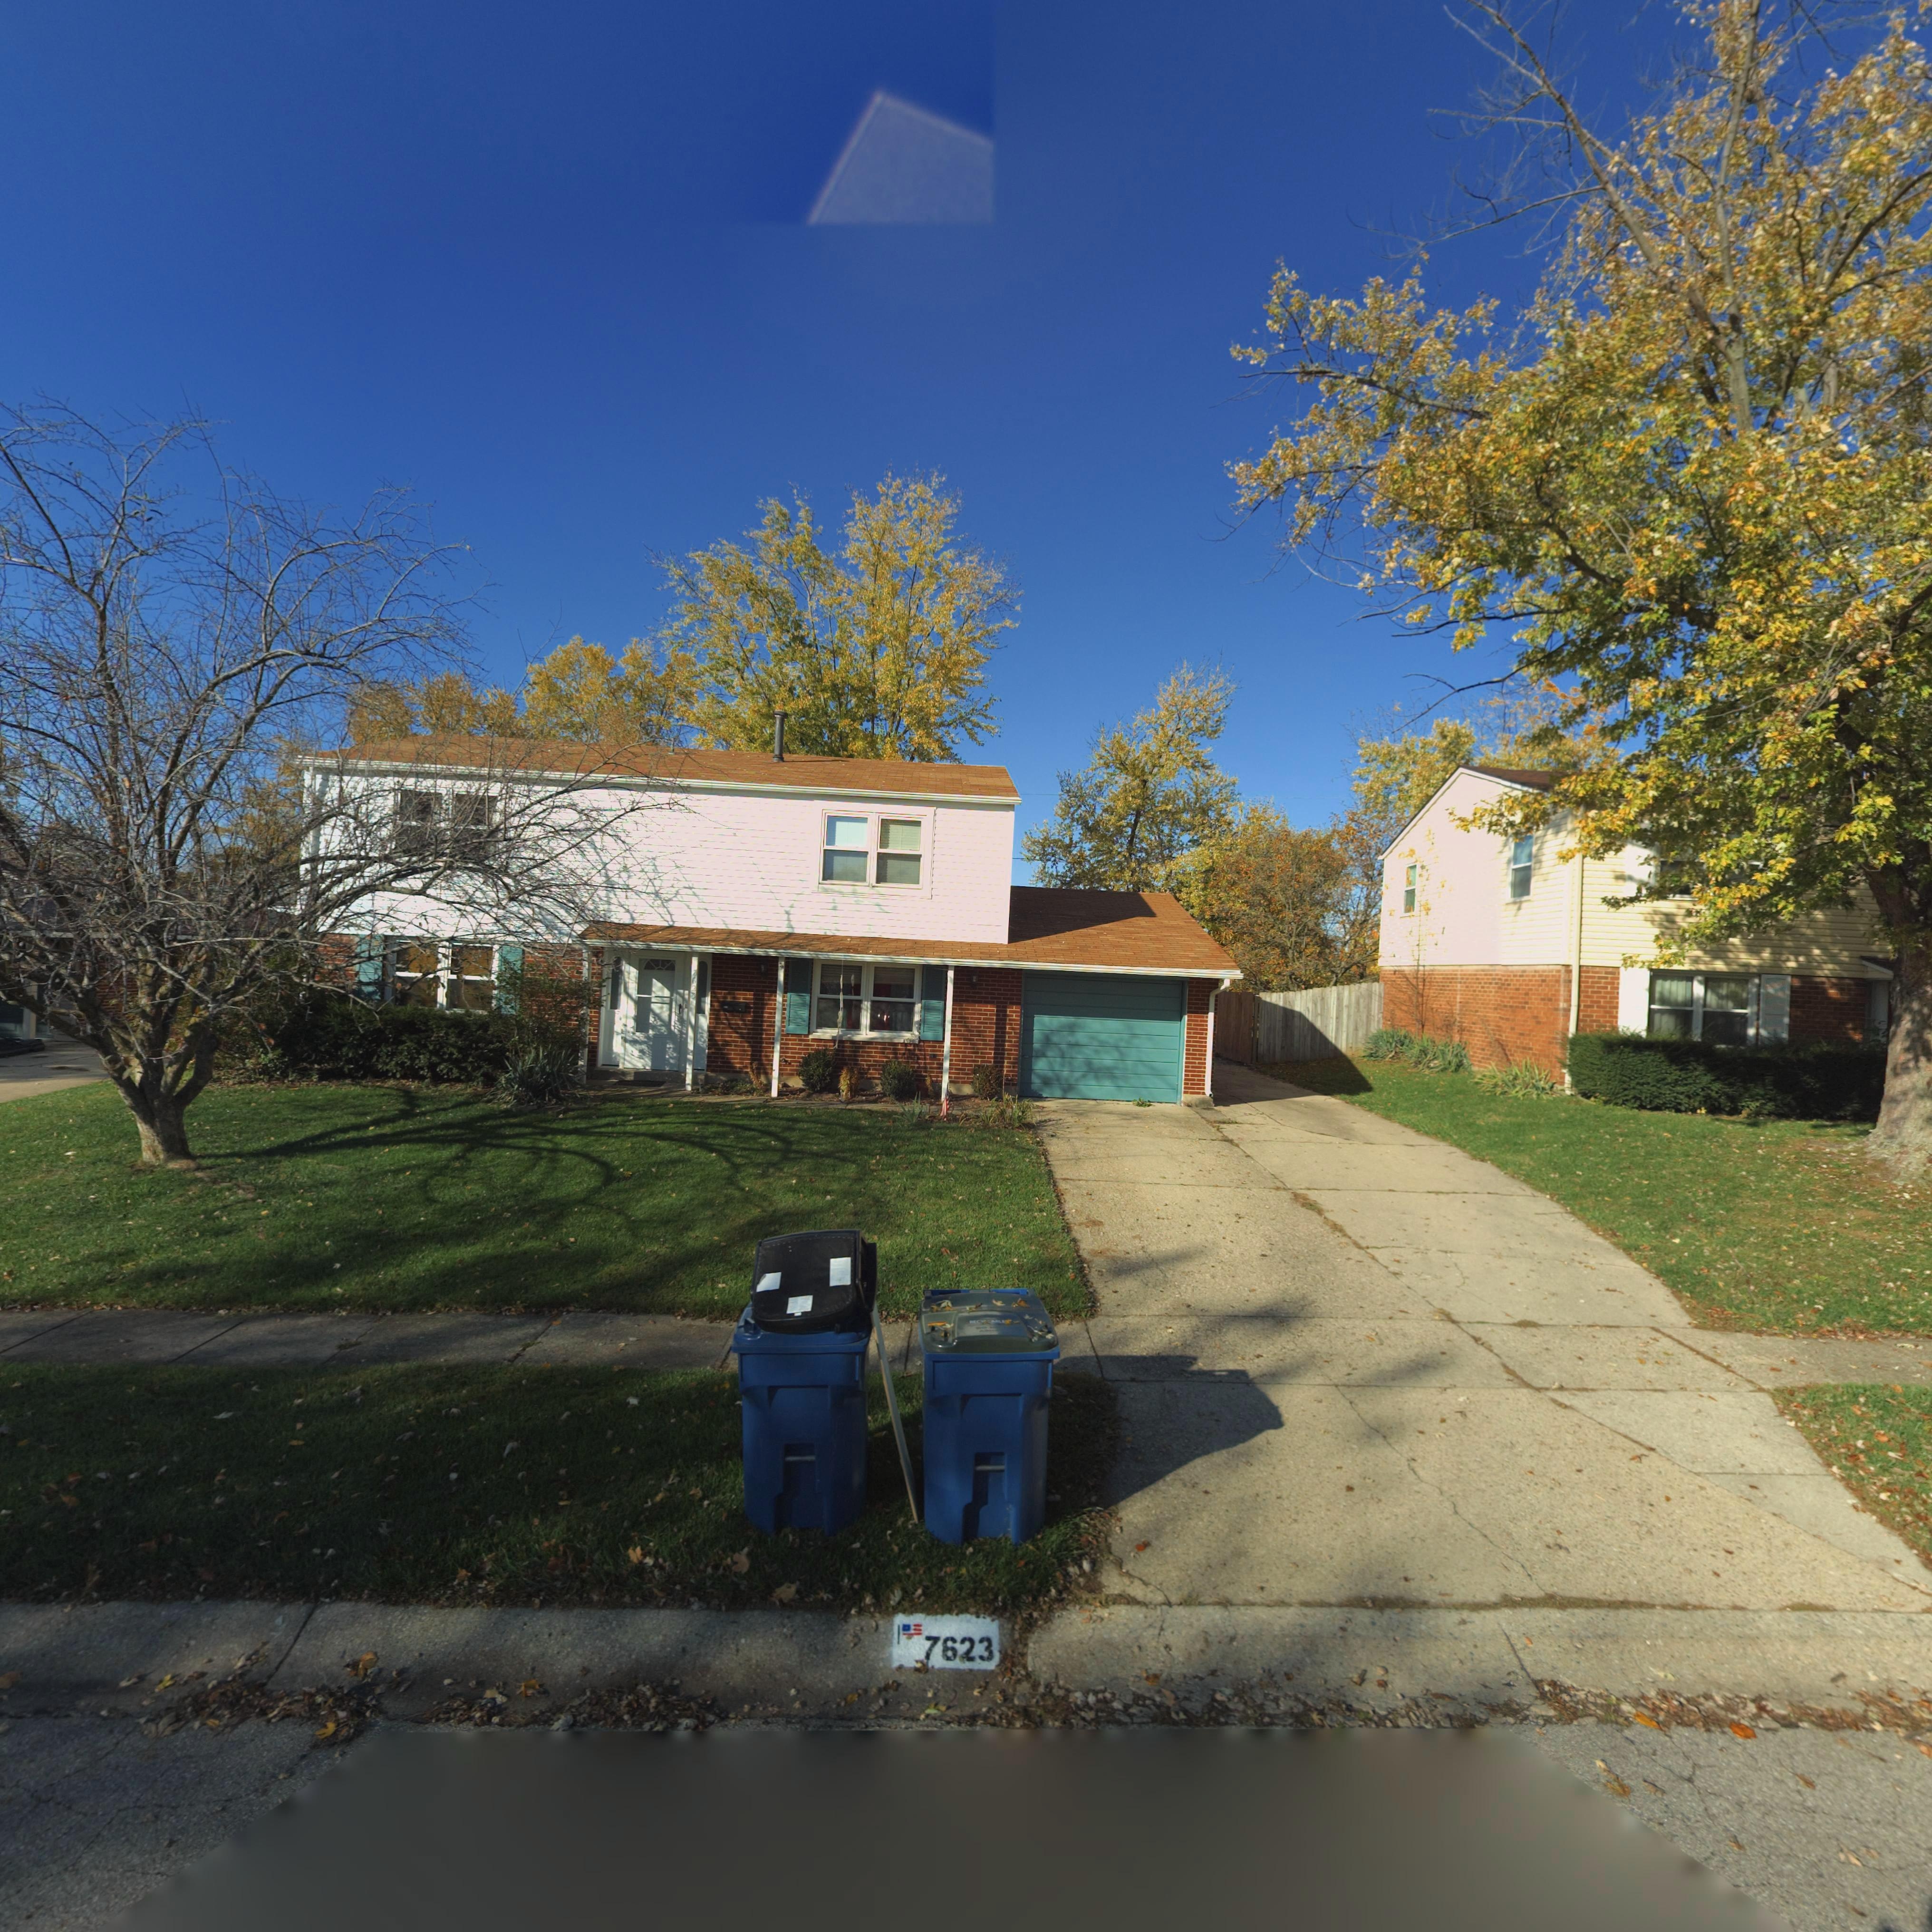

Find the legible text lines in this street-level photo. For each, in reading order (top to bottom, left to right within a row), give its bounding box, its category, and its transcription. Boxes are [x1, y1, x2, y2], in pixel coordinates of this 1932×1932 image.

[690, 968, 698, 1001] StreetNumber: 762*
[923, 1634, 996, 1663] StreetNumber: 7623